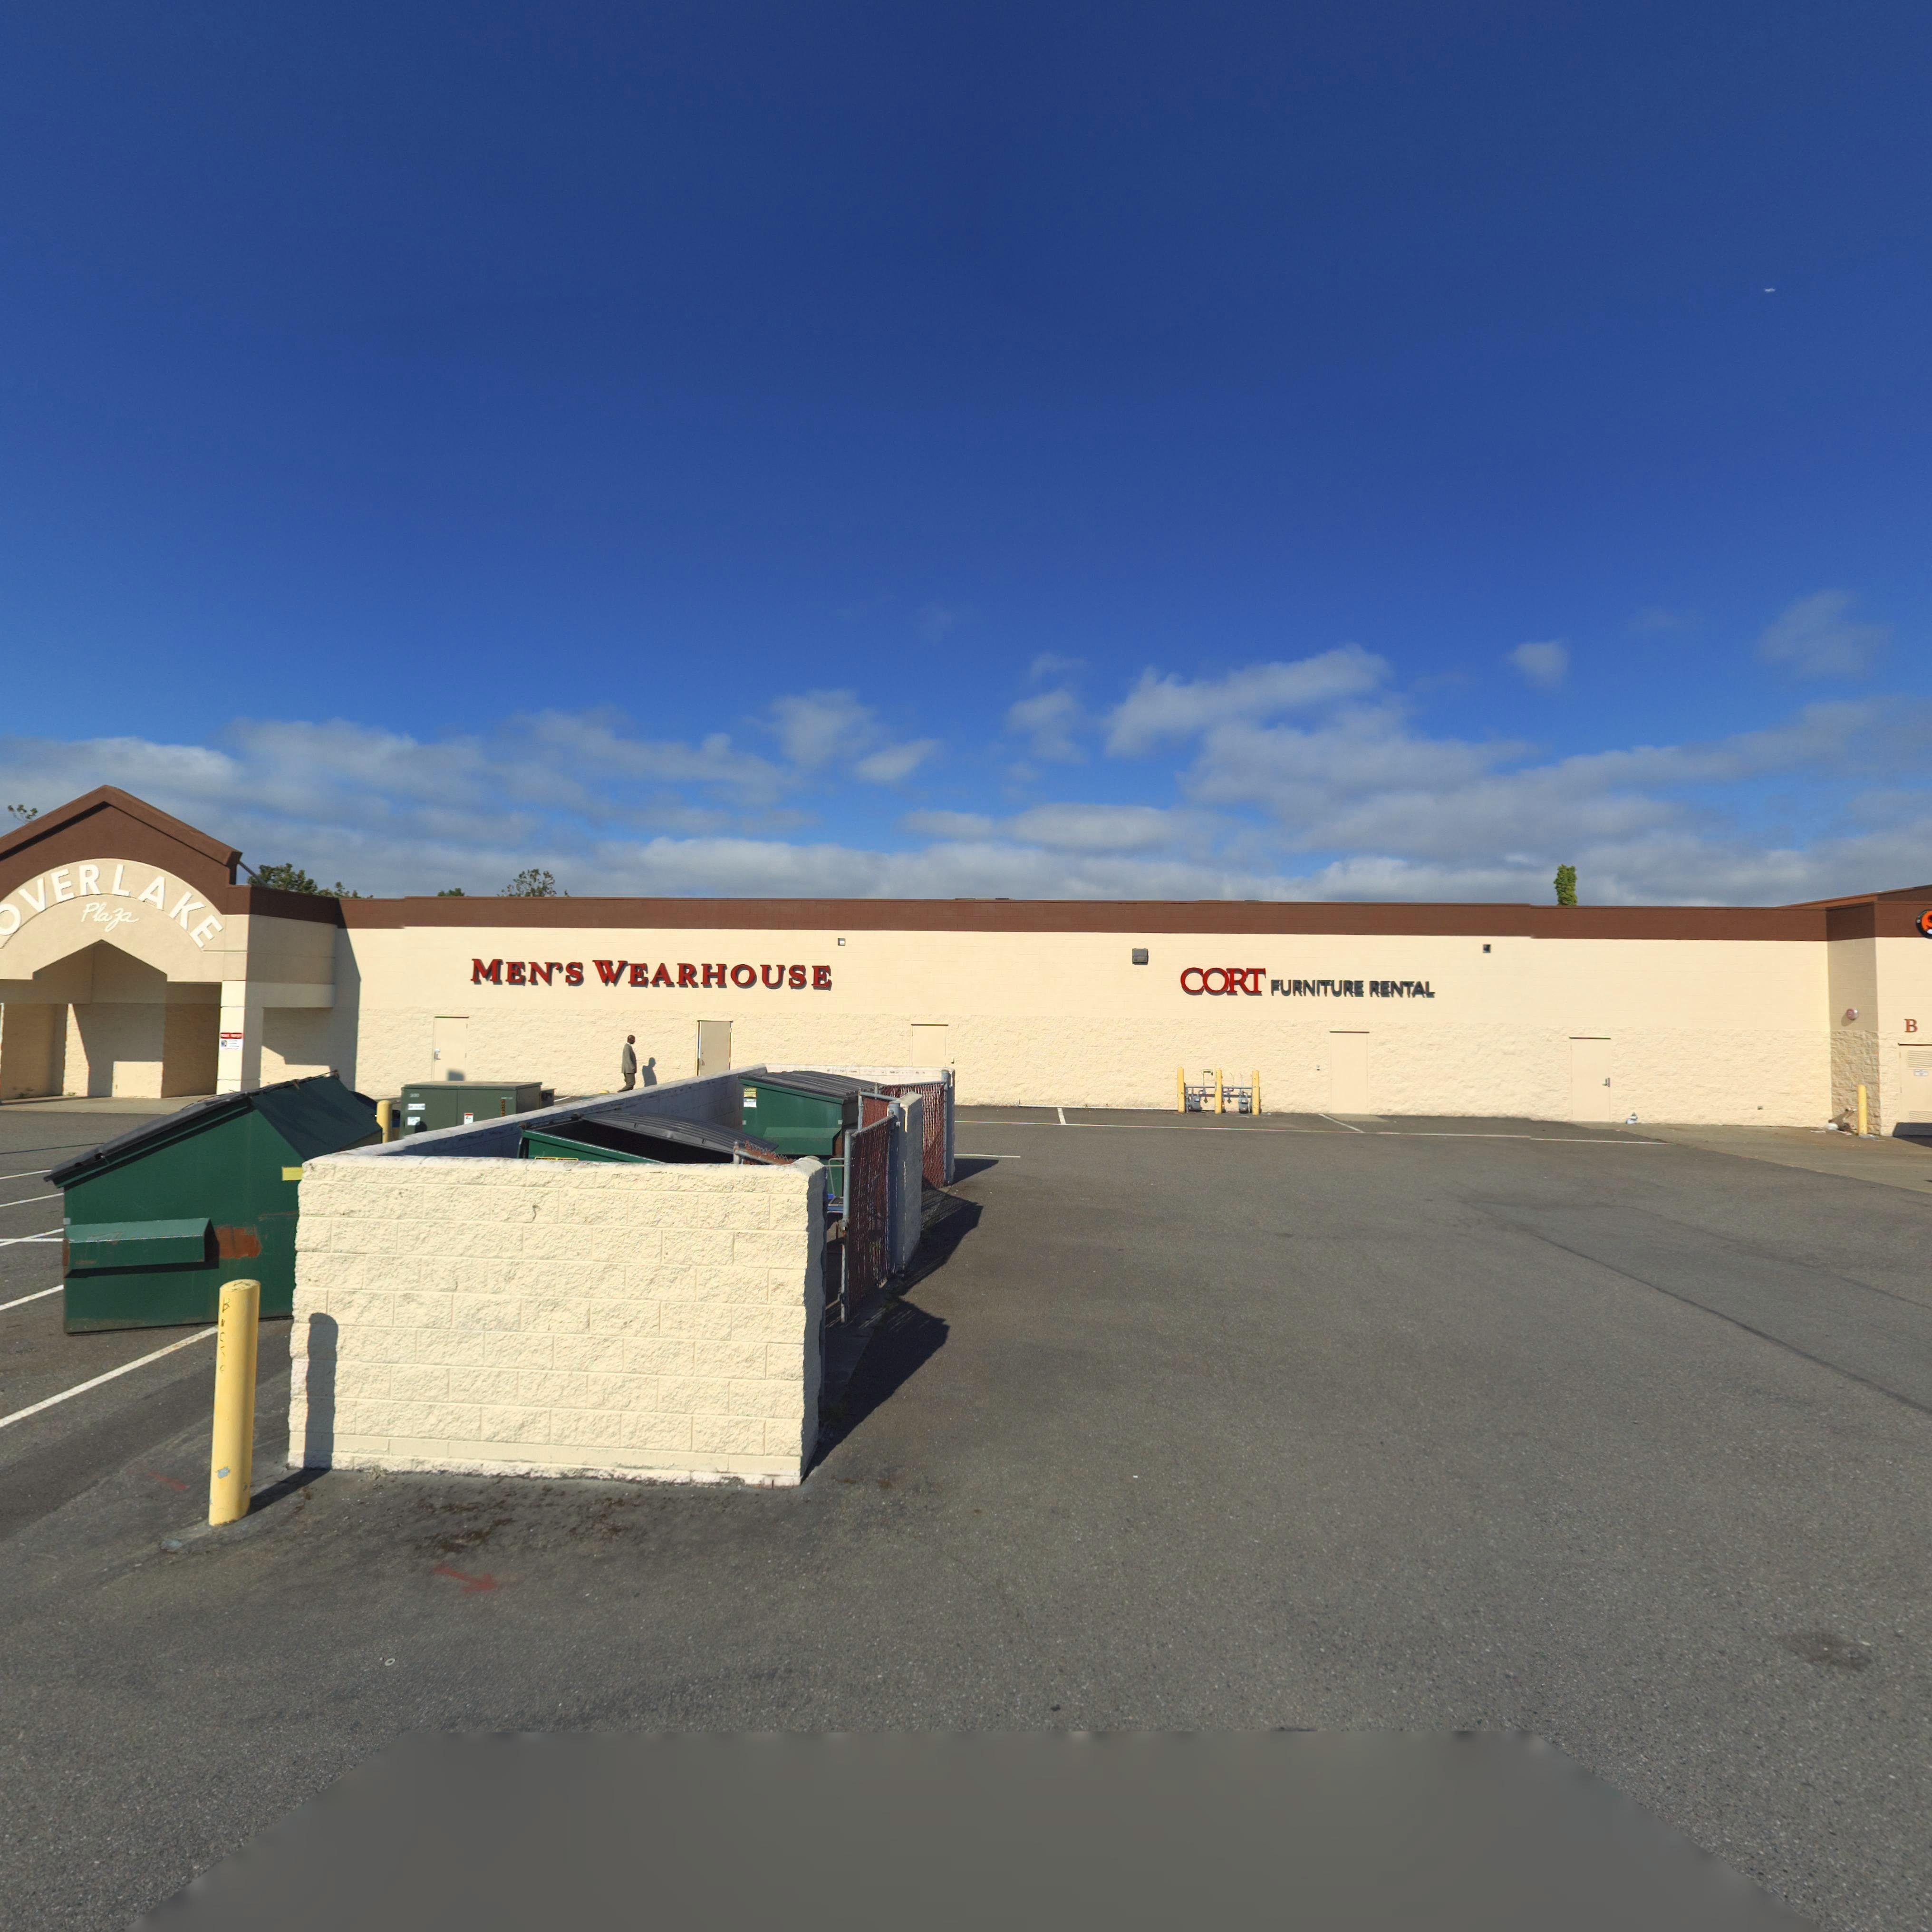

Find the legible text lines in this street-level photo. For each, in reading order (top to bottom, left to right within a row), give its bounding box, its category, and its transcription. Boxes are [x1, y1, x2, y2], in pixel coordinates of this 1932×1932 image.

[468, 955, 831, 991] BusinessName: MEN'S WAREHOUSE
[1179, 966, 1267, 995] BusinessName: CORT
[1270, 978, 1435, 995] BusinessName: FURNITURE RENTAL